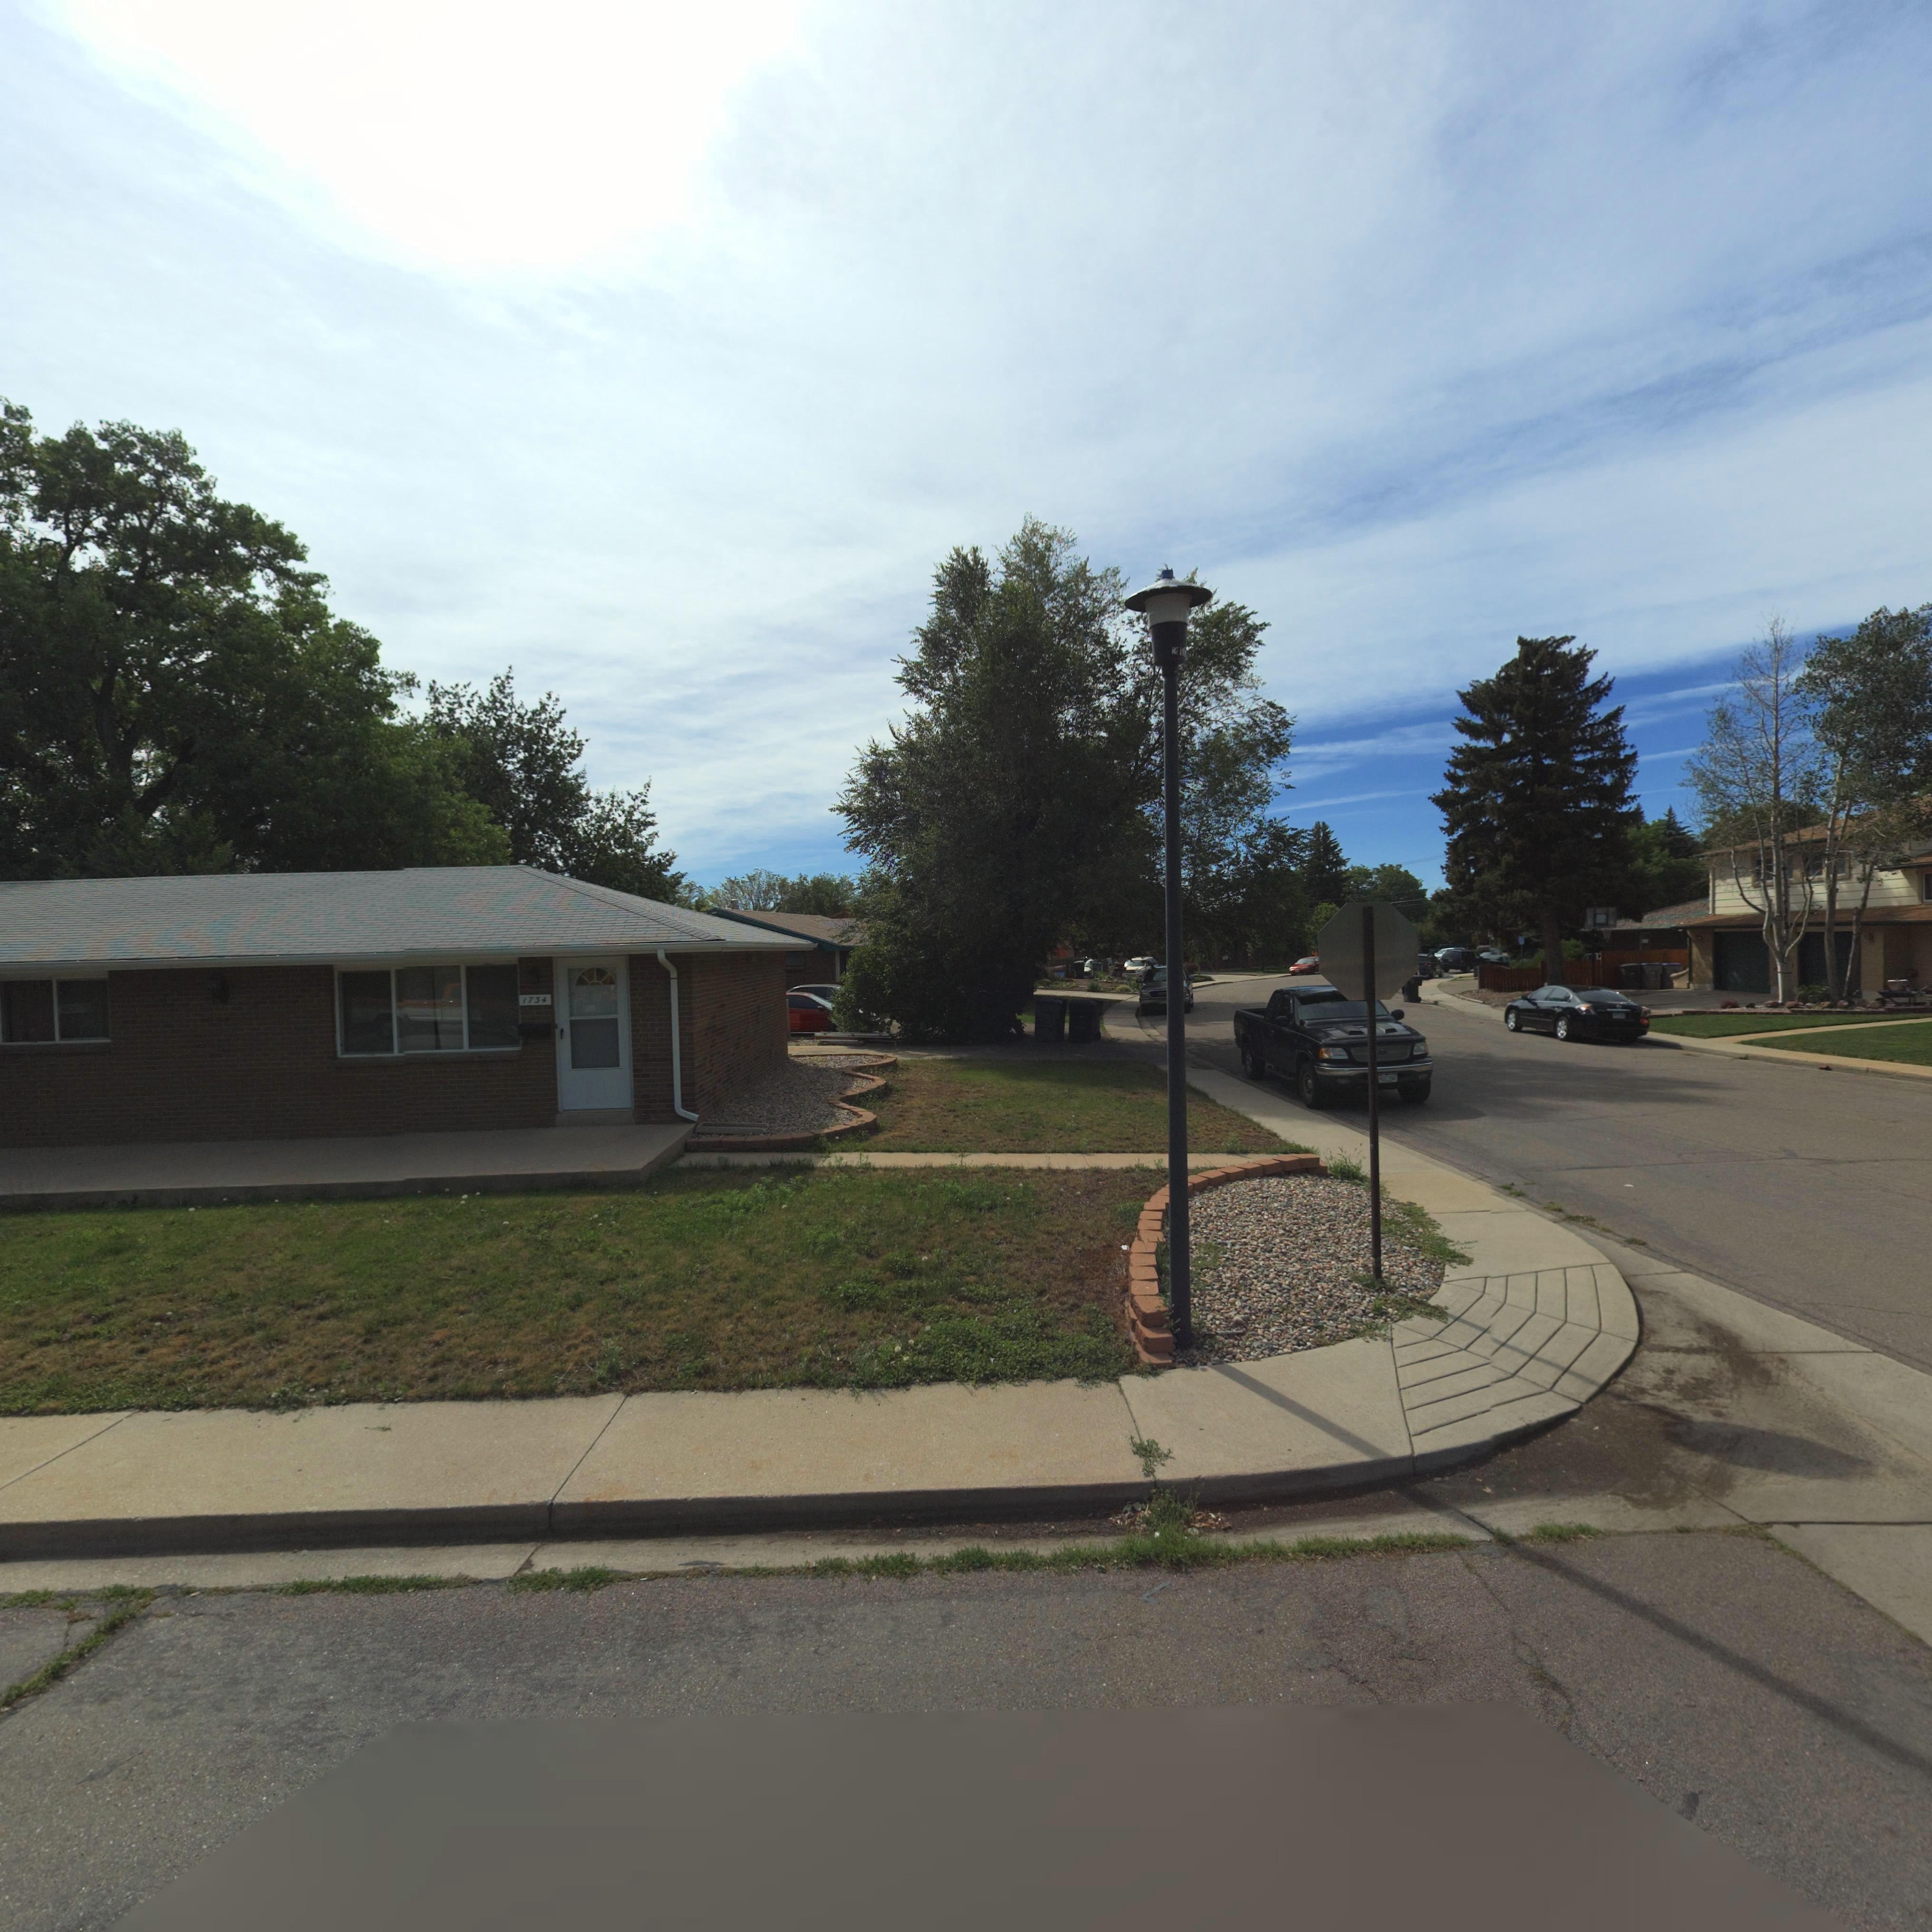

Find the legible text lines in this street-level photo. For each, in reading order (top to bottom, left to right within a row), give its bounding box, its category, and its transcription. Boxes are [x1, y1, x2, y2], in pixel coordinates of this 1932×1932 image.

[522, 996, 547, 1004] StreetNumber: 1734